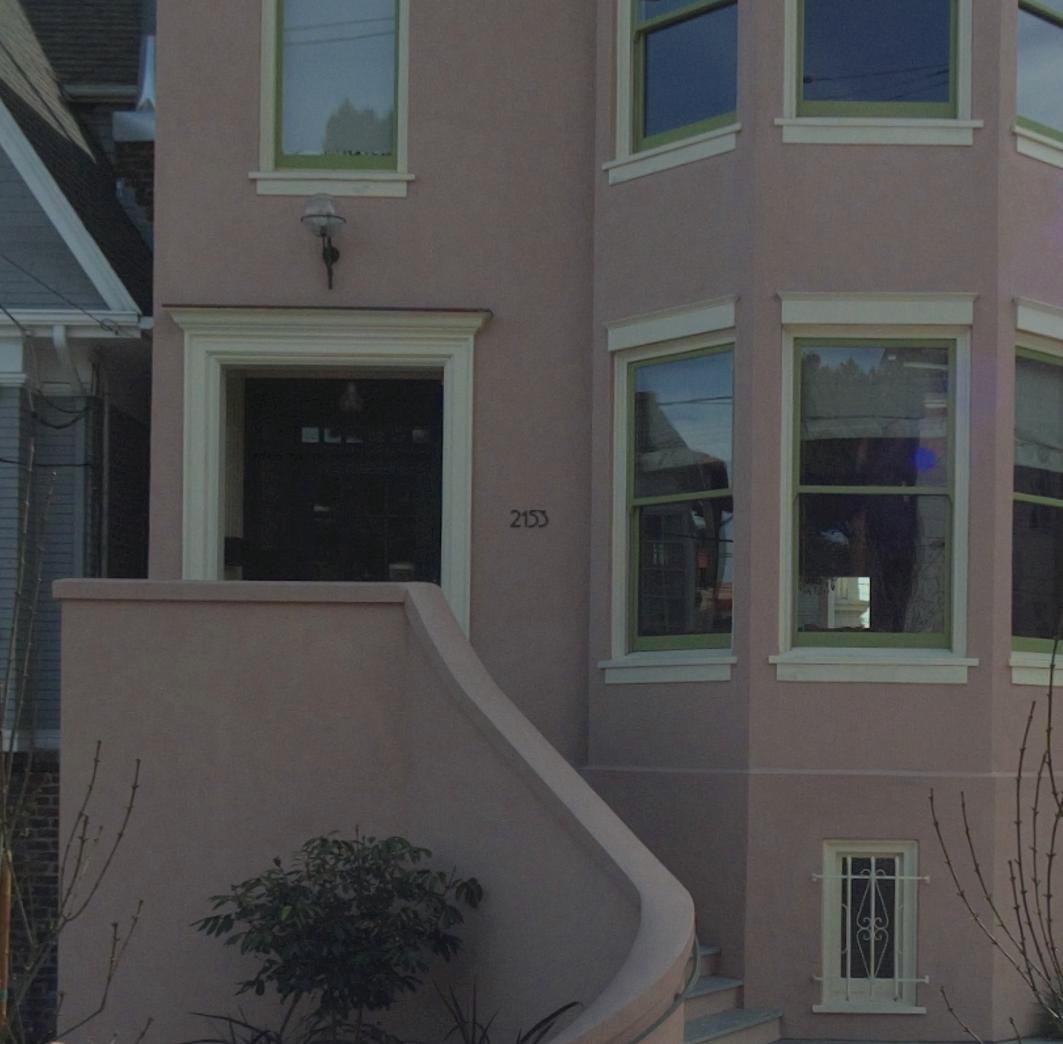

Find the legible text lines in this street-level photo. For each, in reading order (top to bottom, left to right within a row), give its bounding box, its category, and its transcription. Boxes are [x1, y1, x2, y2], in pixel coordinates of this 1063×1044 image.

[507, 508, 551, 530] StreetNumber: 2153